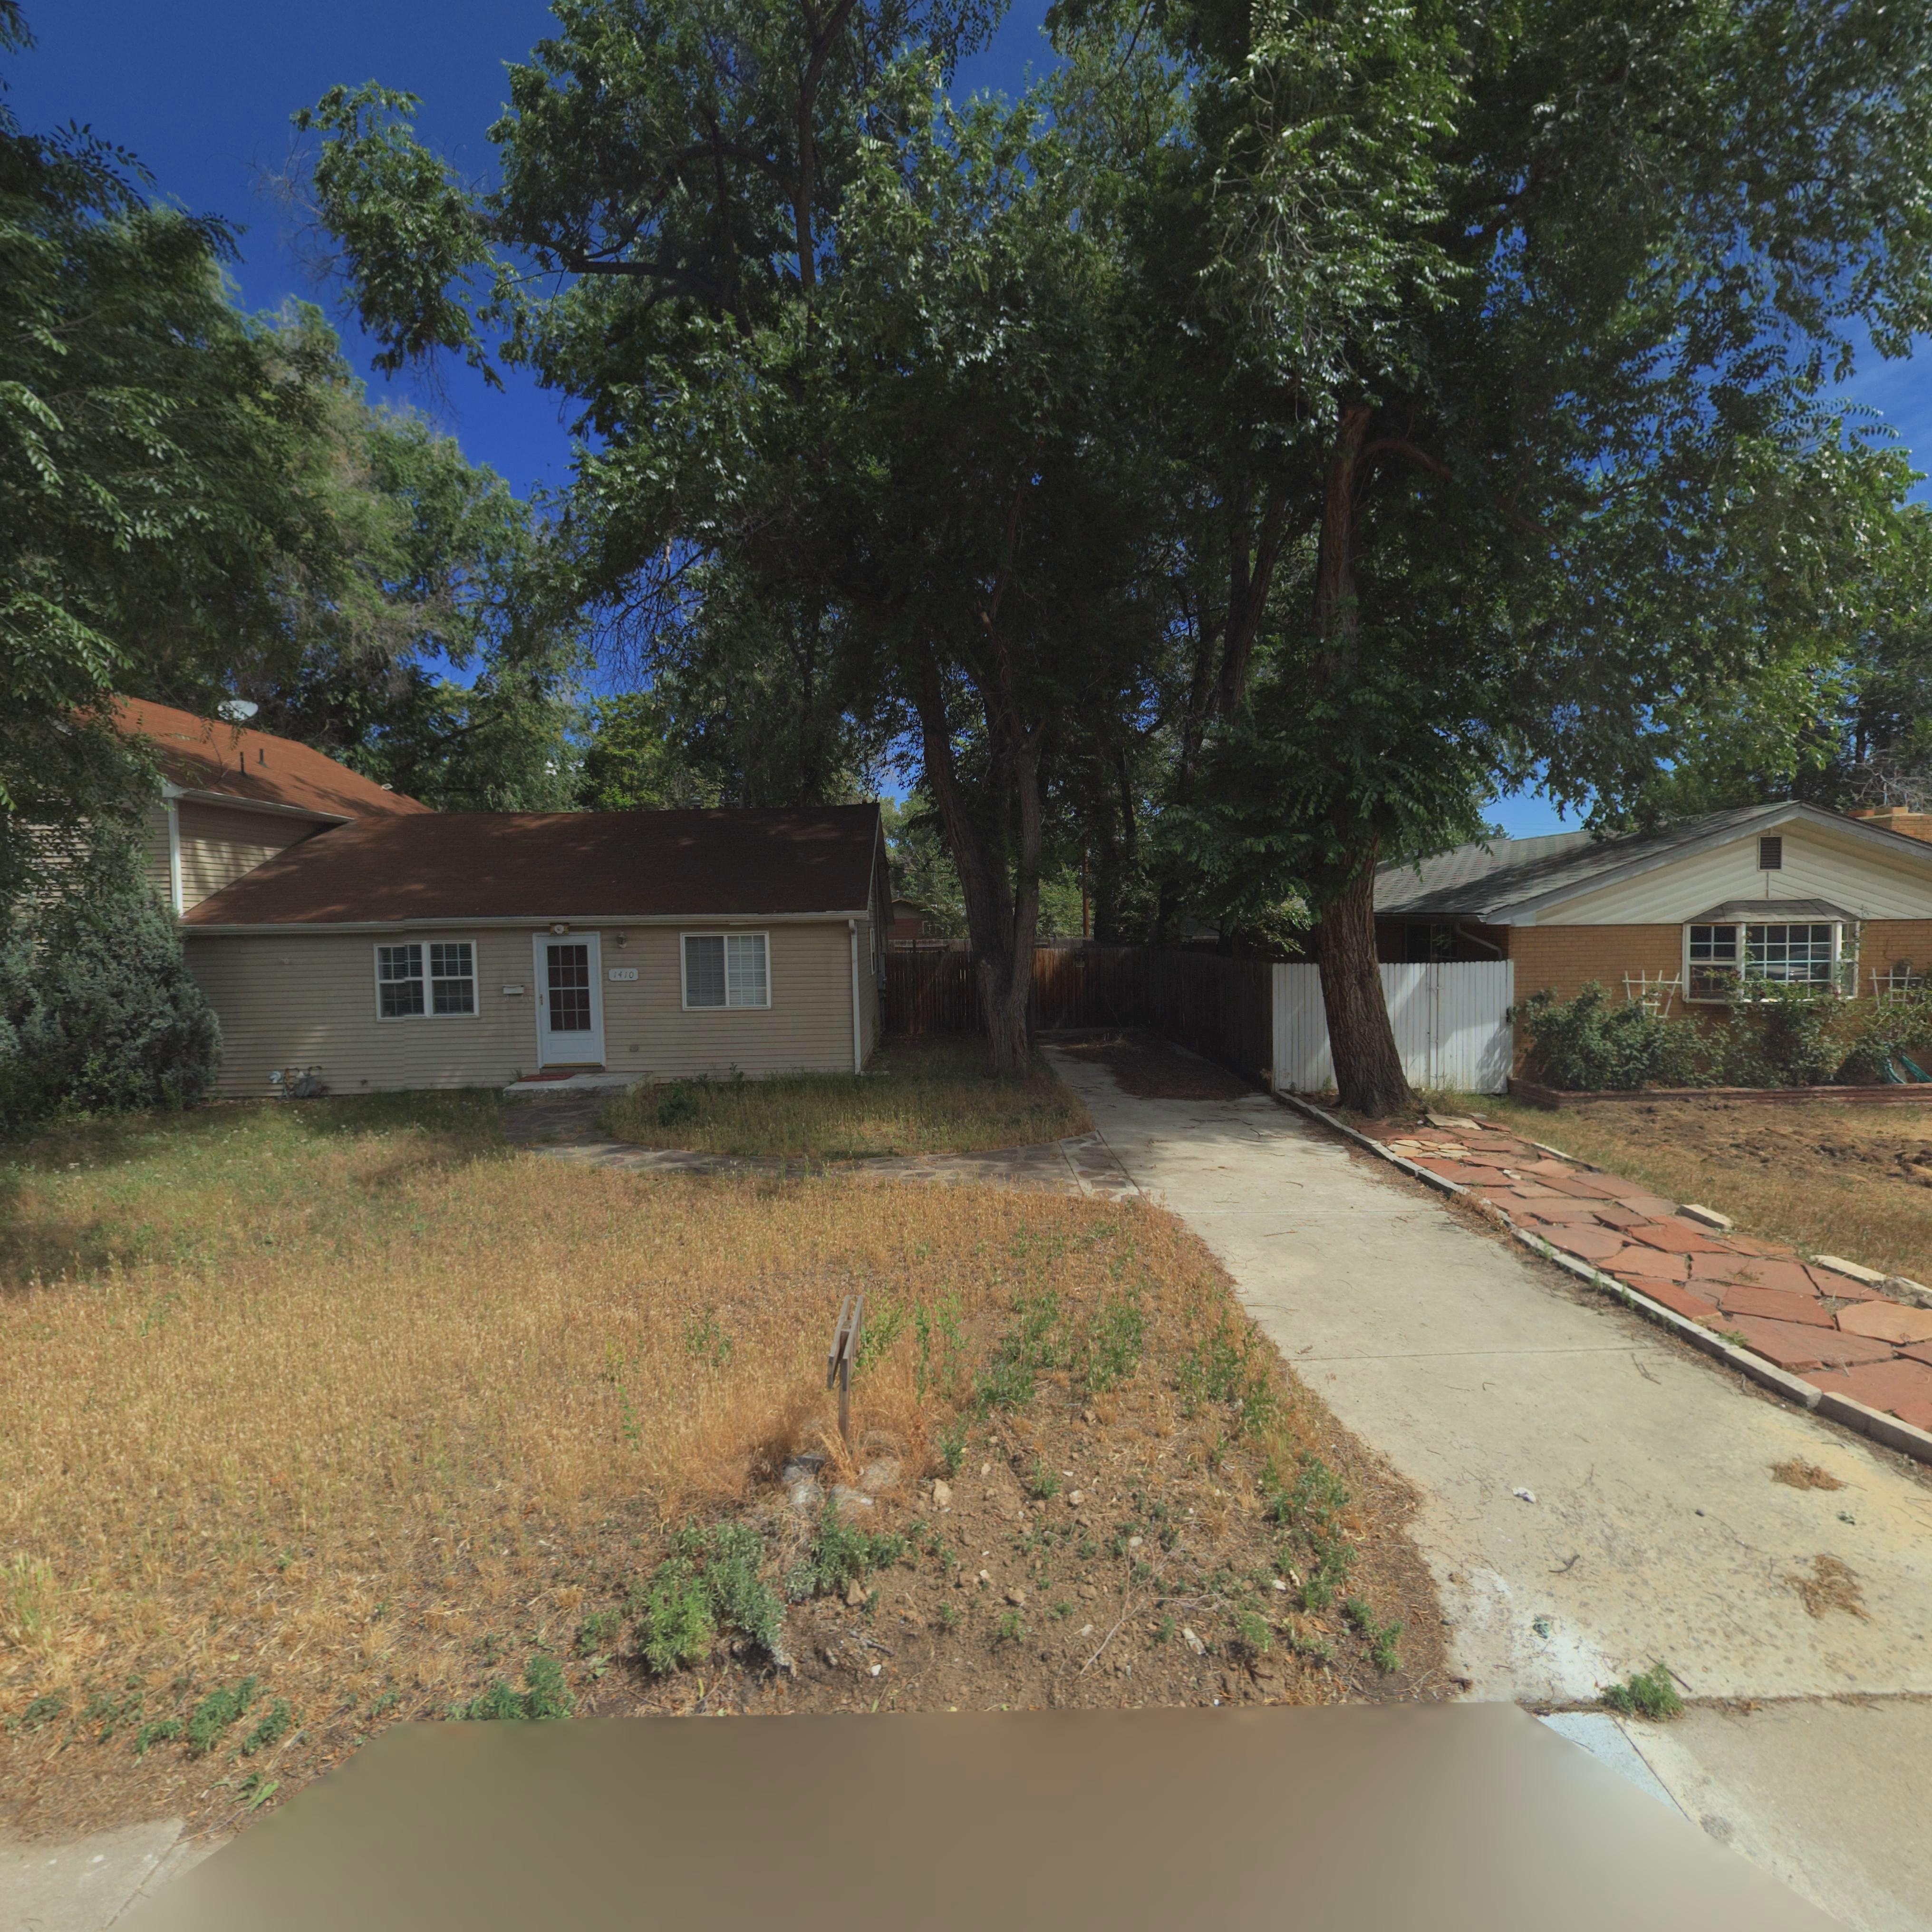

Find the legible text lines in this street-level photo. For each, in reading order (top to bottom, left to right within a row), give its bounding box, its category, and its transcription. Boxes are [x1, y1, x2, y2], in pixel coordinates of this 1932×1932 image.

[613, 971, 634, 979] StreetNumber: 1410